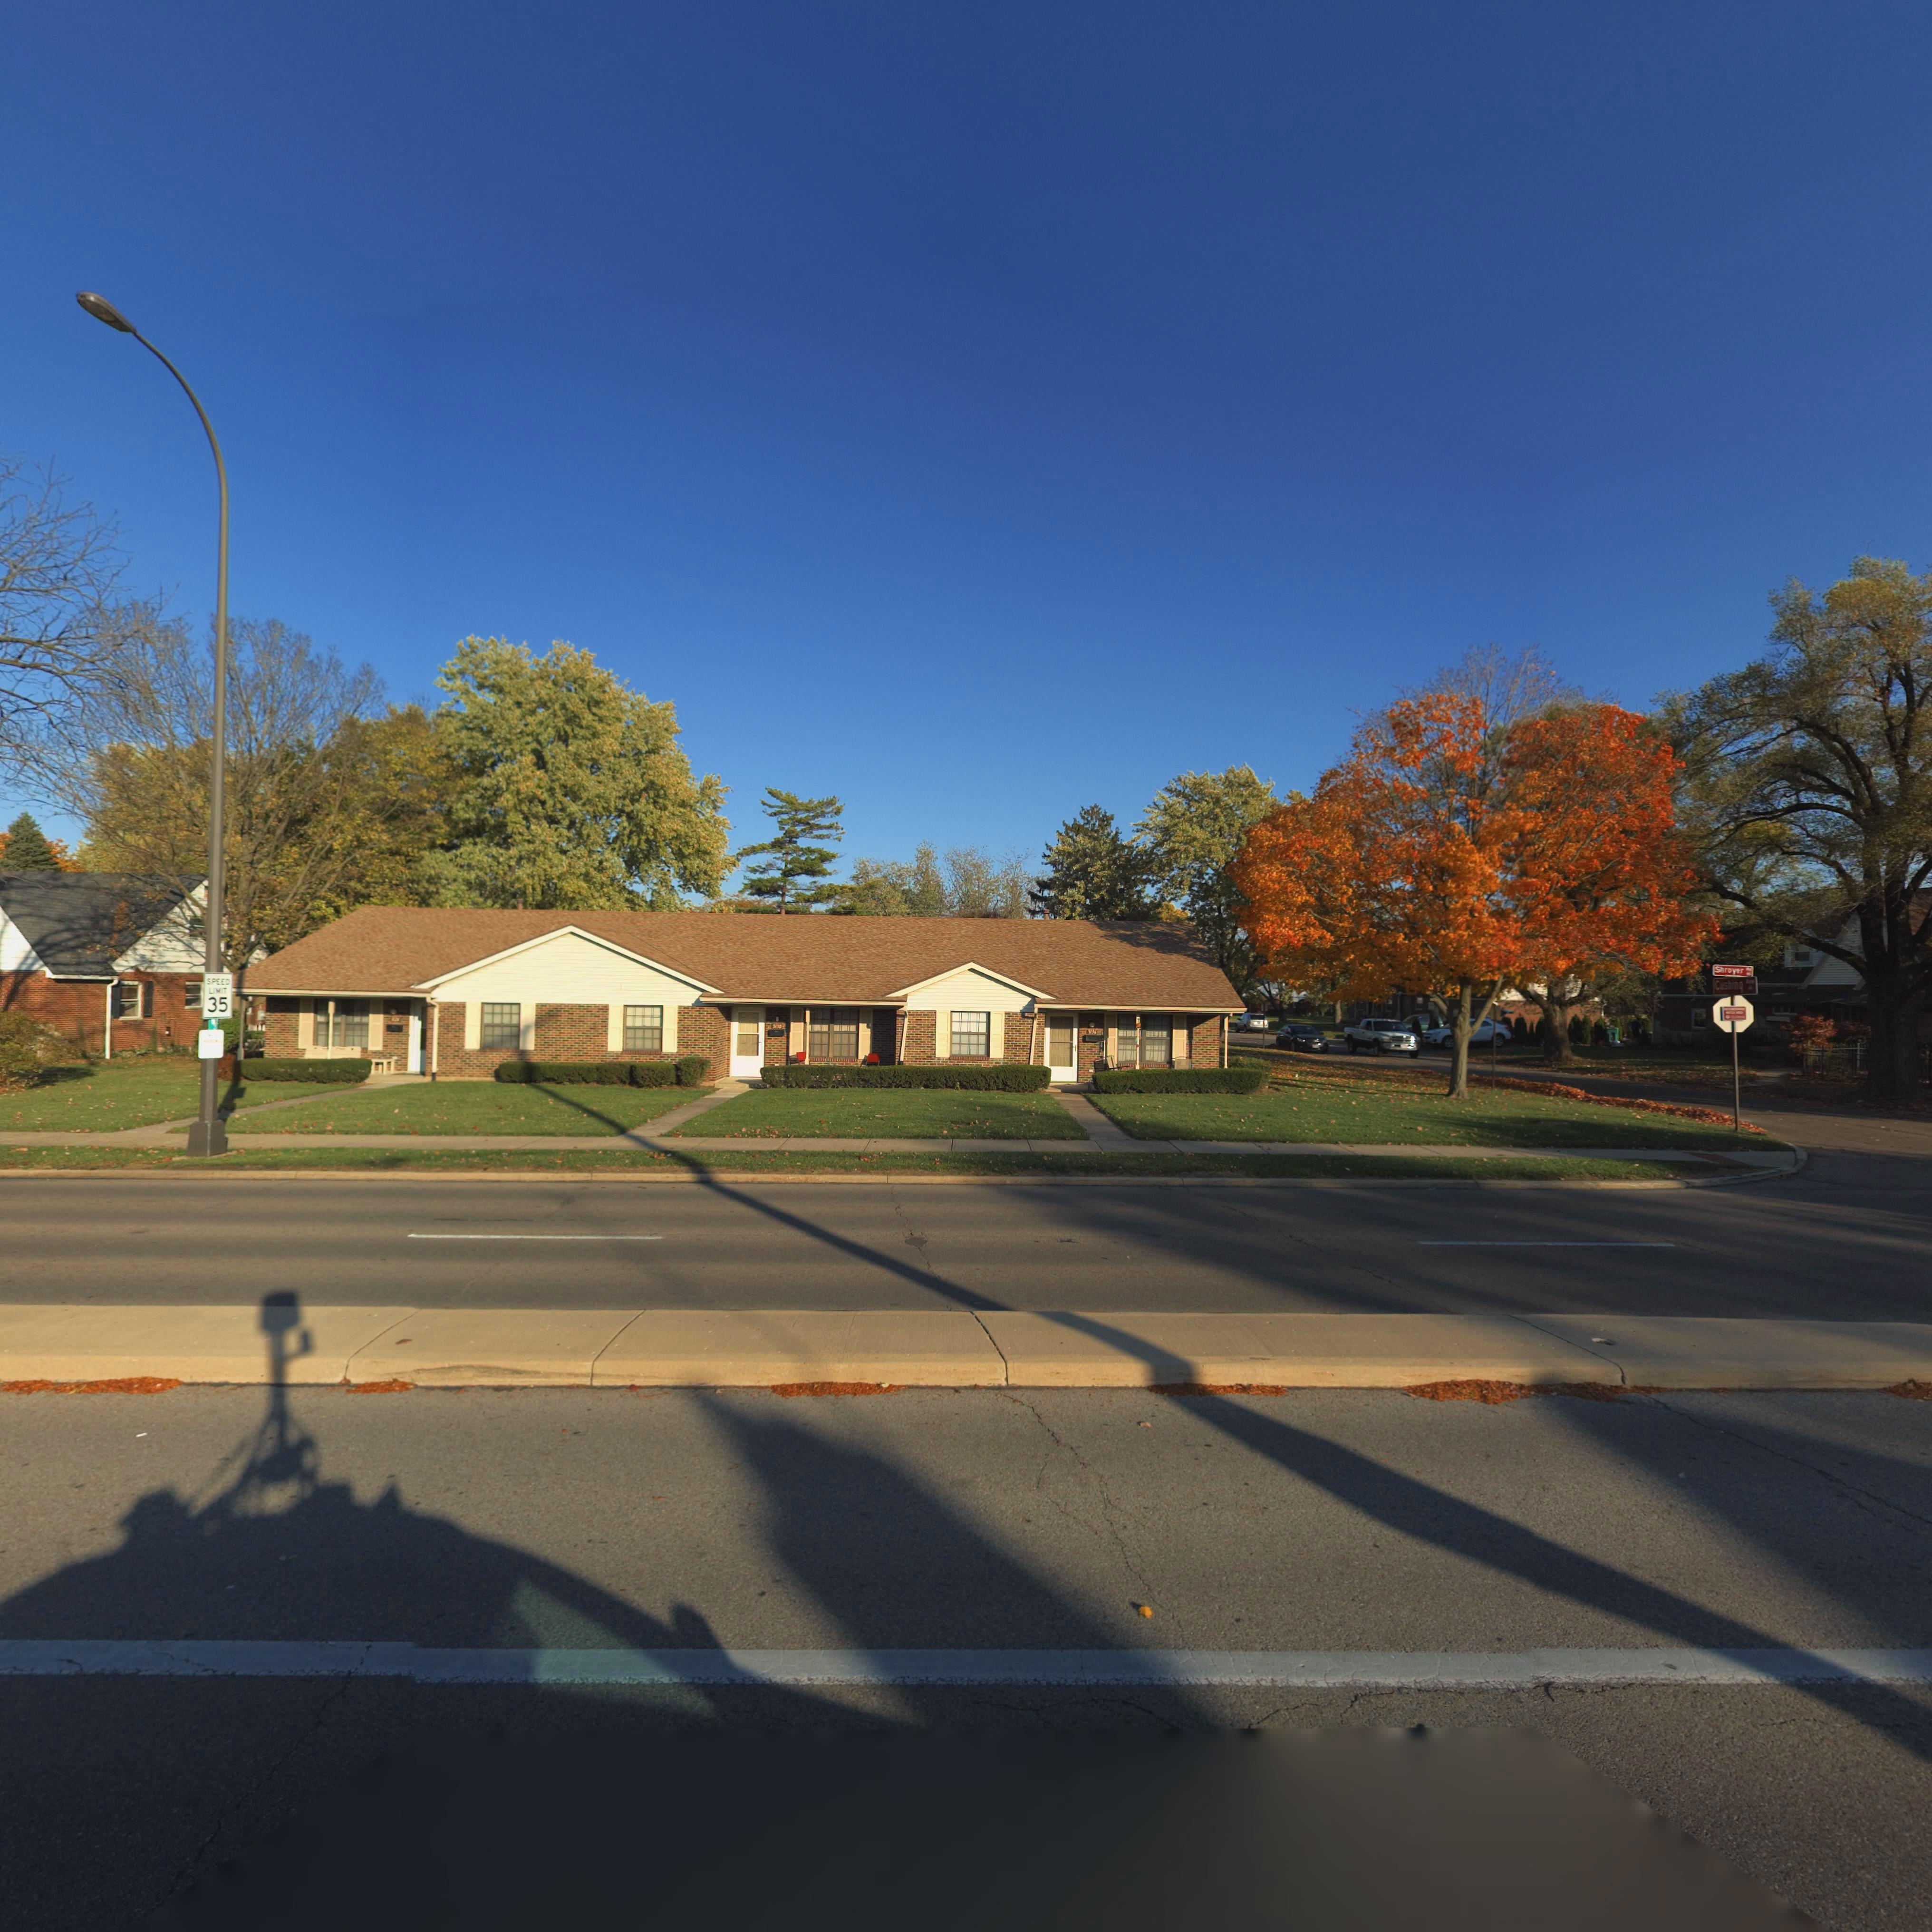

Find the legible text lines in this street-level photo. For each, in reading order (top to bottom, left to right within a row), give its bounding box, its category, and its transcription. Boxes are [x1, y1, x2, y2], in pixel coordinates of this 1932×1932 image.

[1714, 966, 1745, 976] StreetName: Shroyer
[1087, 1029, 1096, 1034] StreetNumber: 3136